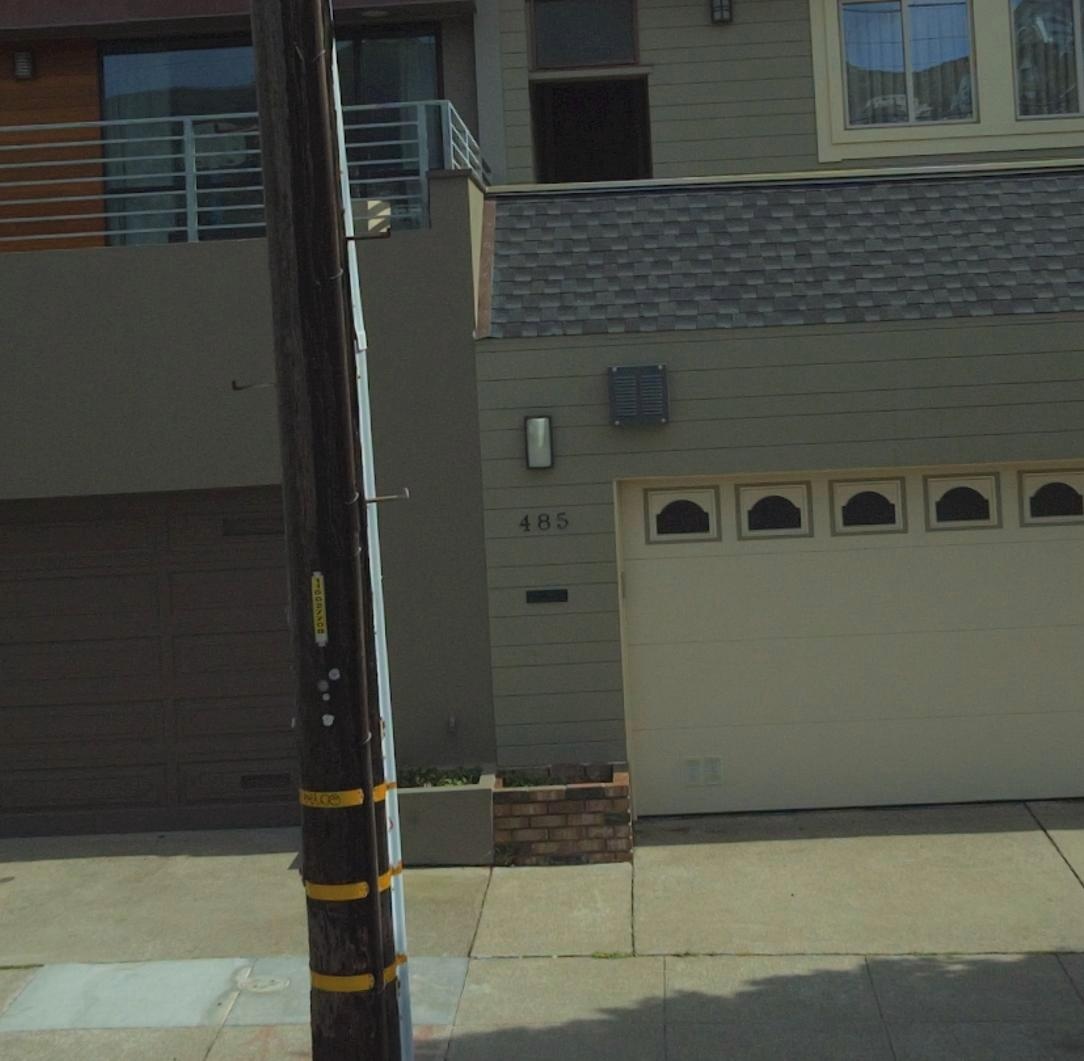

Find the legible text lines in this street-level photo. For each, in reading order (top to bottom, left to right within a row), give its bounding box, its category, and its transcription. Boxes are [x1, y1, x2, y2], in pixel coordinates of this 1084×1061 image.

[518, 511, 570, 532] StreetNumber: 485
[312, 576, 325, 636] None: 11002770*